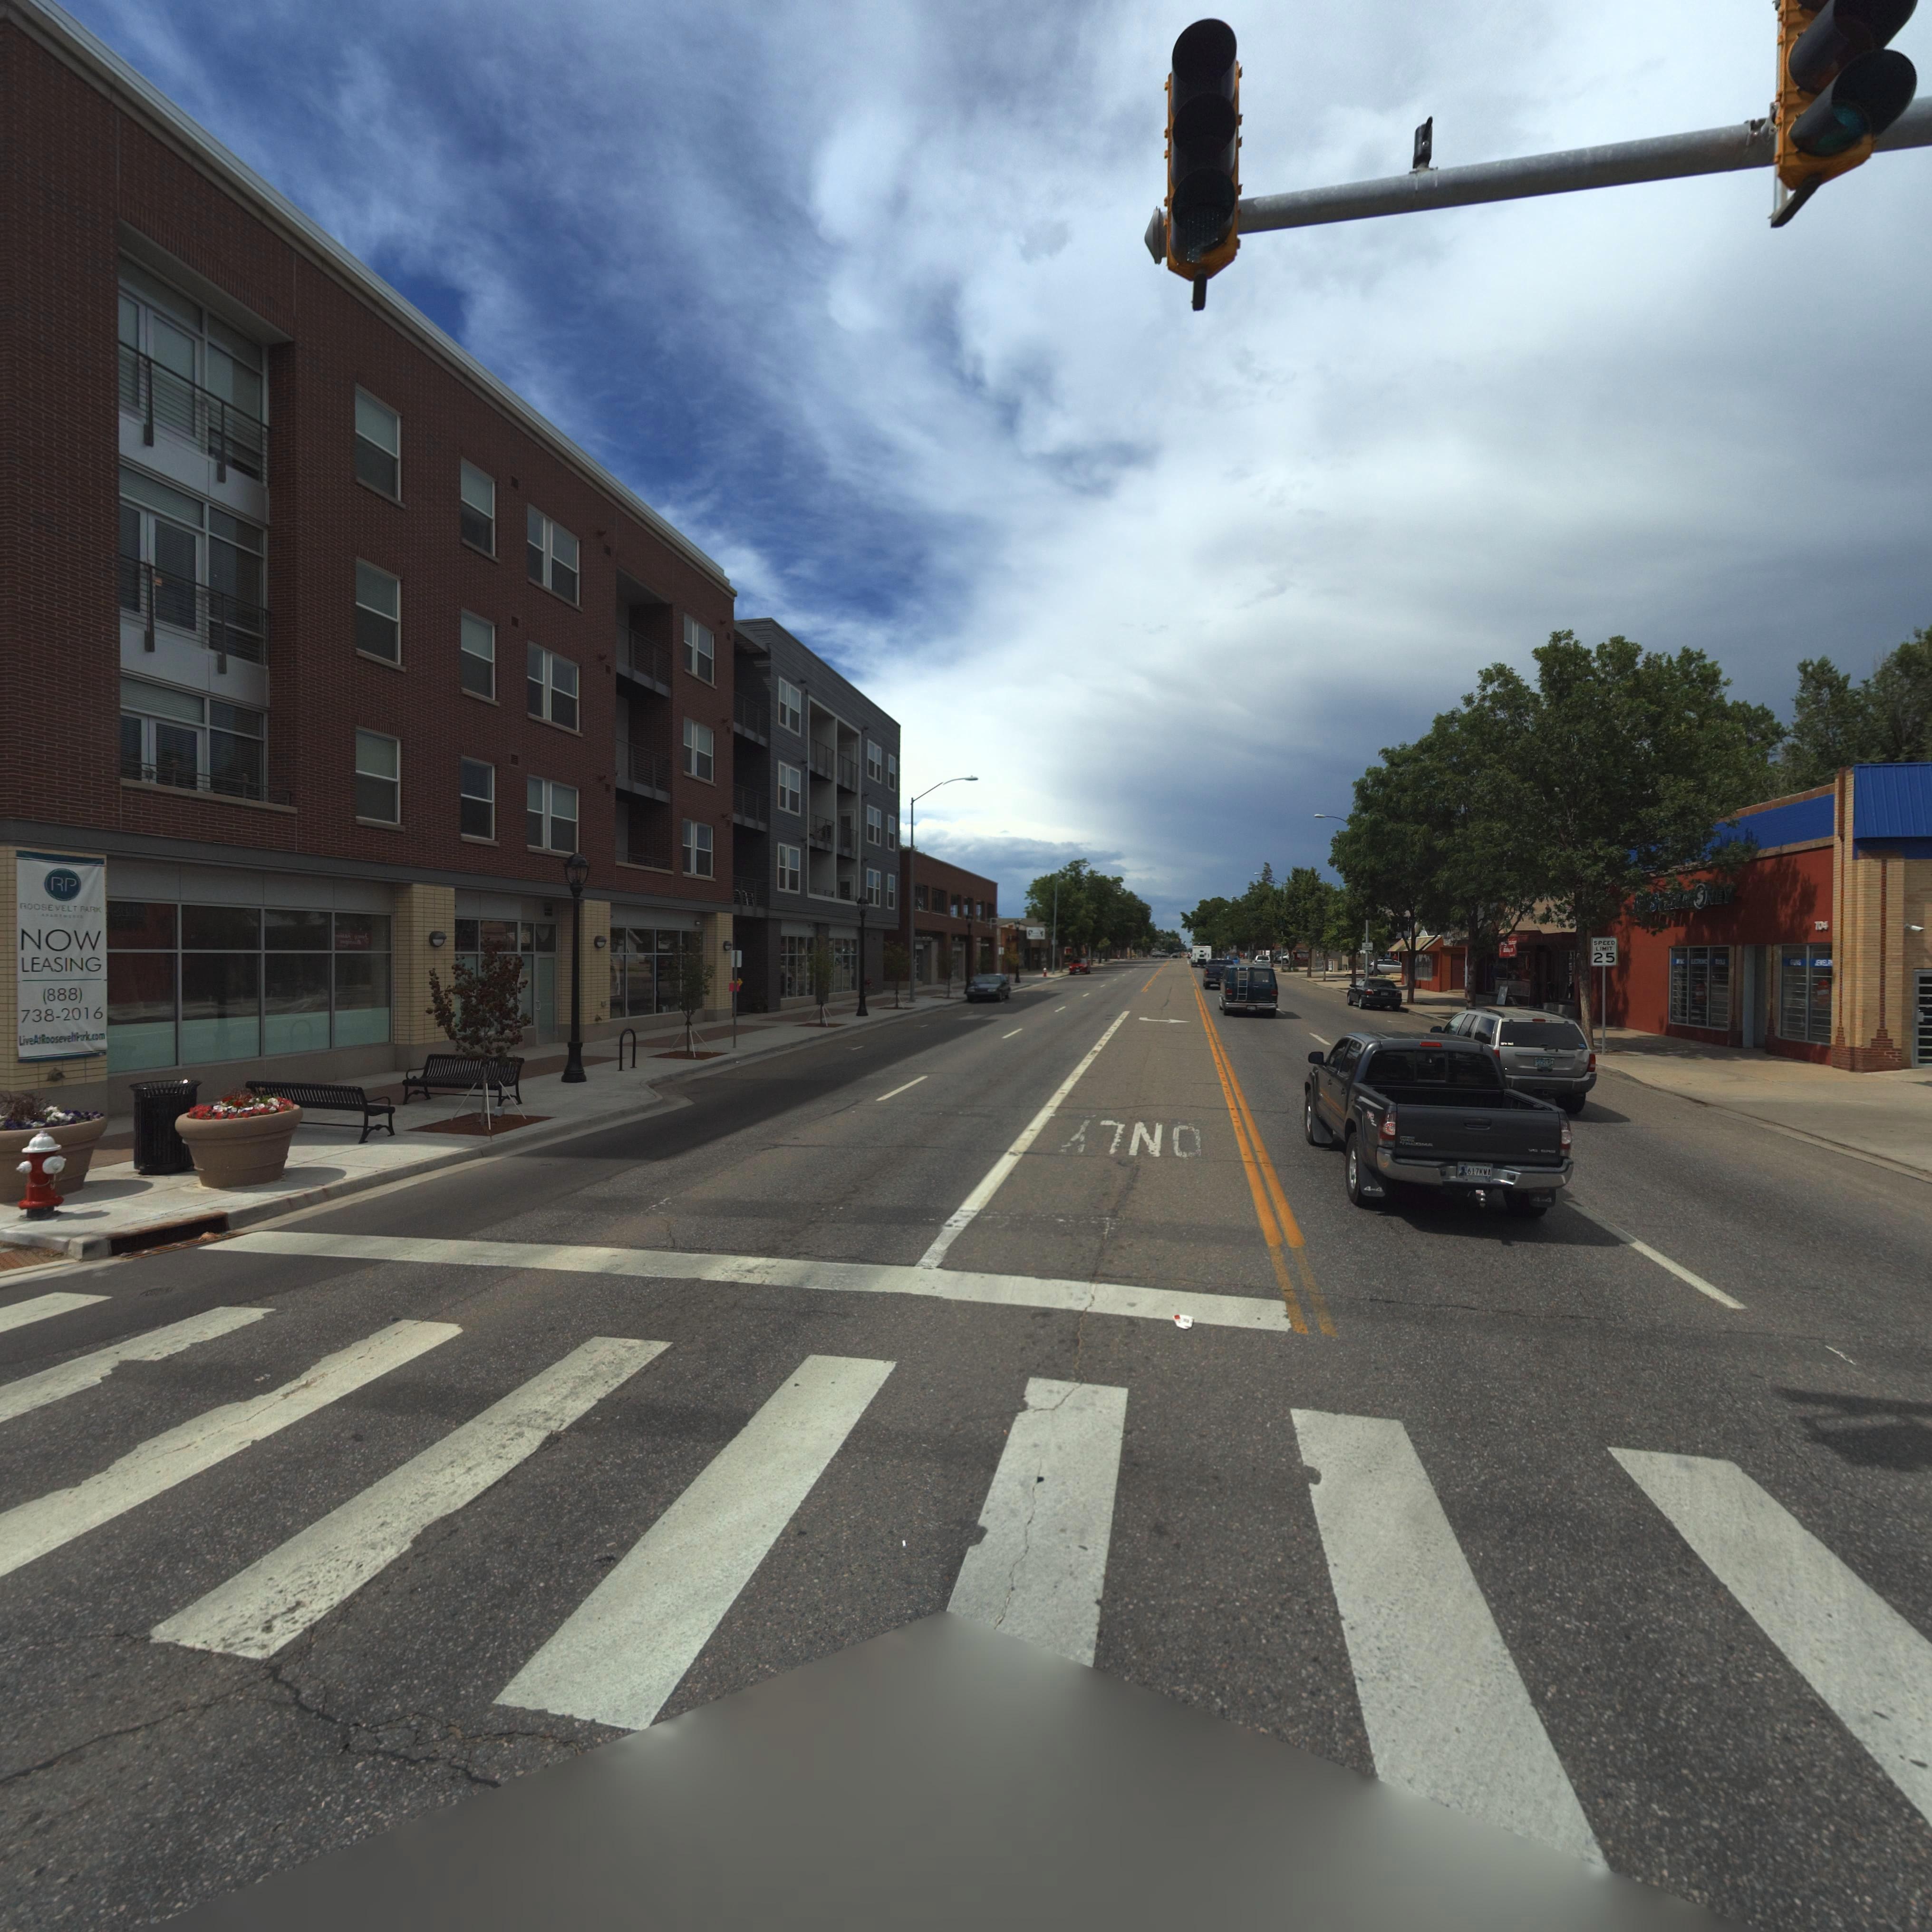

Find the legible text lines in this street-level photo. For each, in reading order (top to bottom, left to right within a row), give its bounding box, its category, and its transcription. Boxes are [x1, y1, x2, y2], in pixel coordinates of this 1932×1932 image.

[1705, 882, 1736, 906] BusinessName: NEY
[1814, 920, 1829, 931] StreetNumber: 704
[1027, 929, 1033, 937] StreetNumber: f
[1676, 958, 1725, 965] None: z*